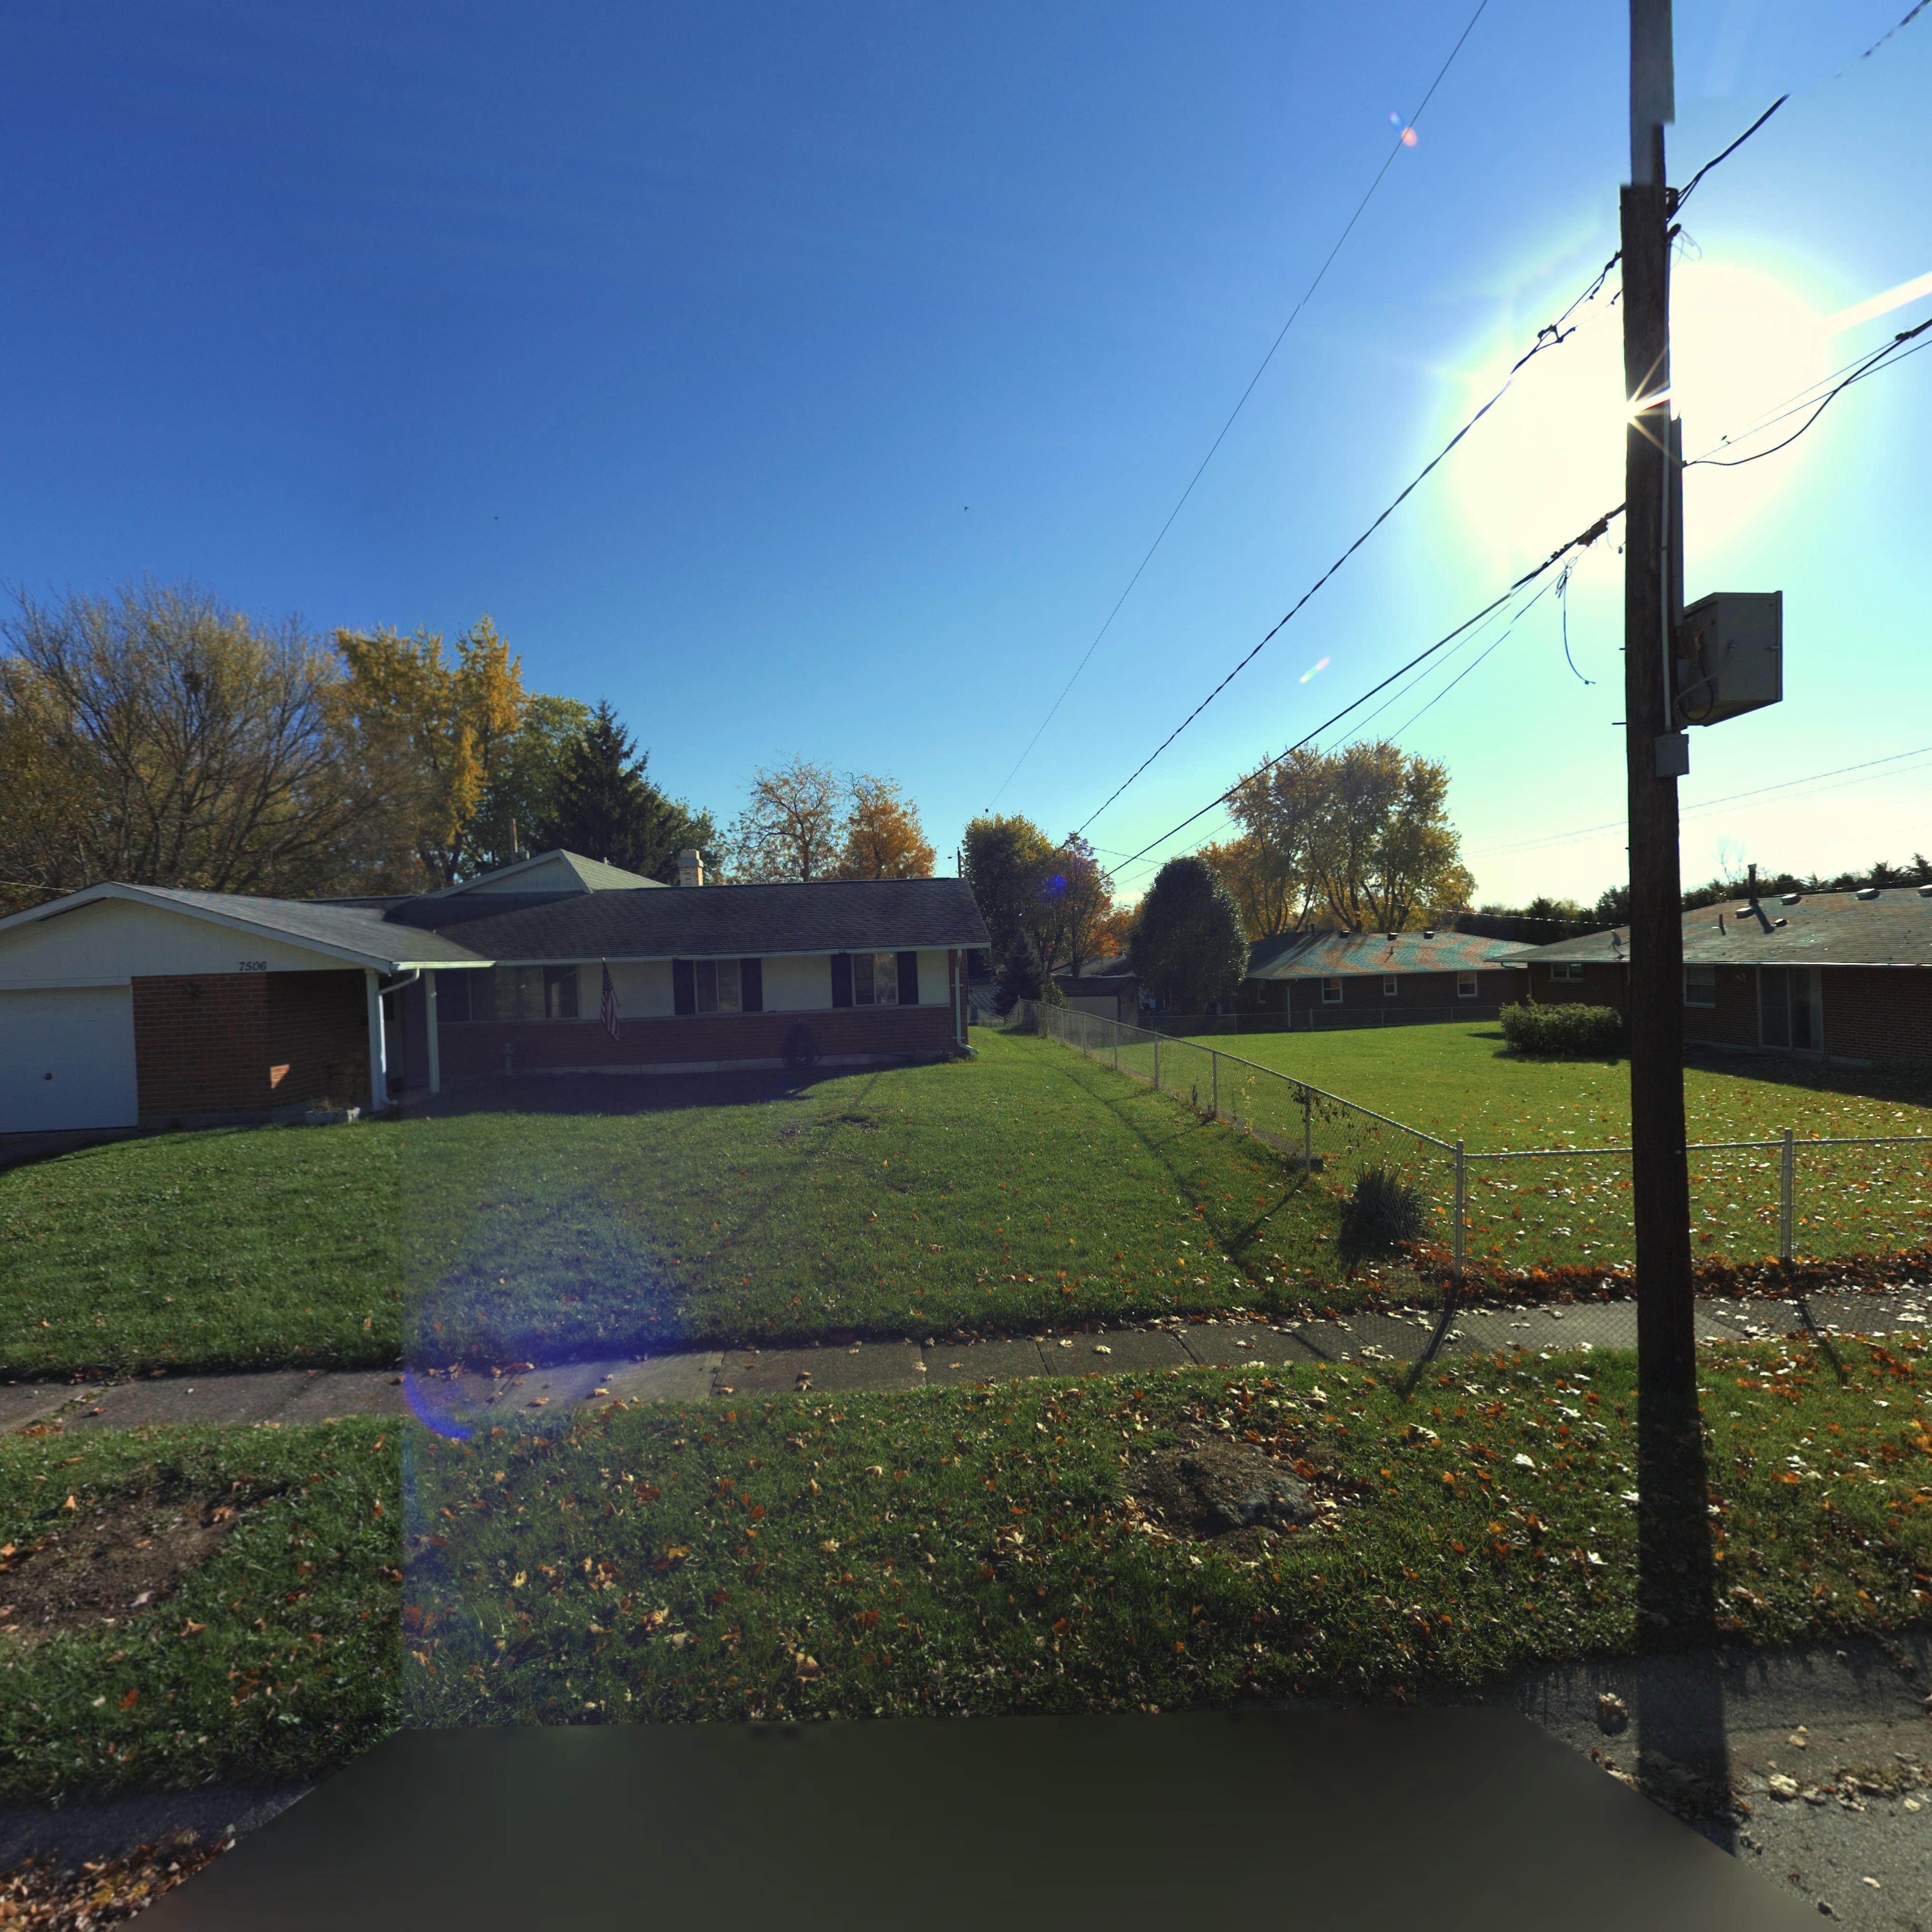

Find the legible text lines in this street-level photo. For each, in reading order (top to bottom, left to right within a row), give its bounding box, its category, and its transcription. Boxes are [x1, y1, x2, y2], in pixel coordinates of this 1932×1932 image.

[237, 959, 268, 973] StreetNumber: 7506